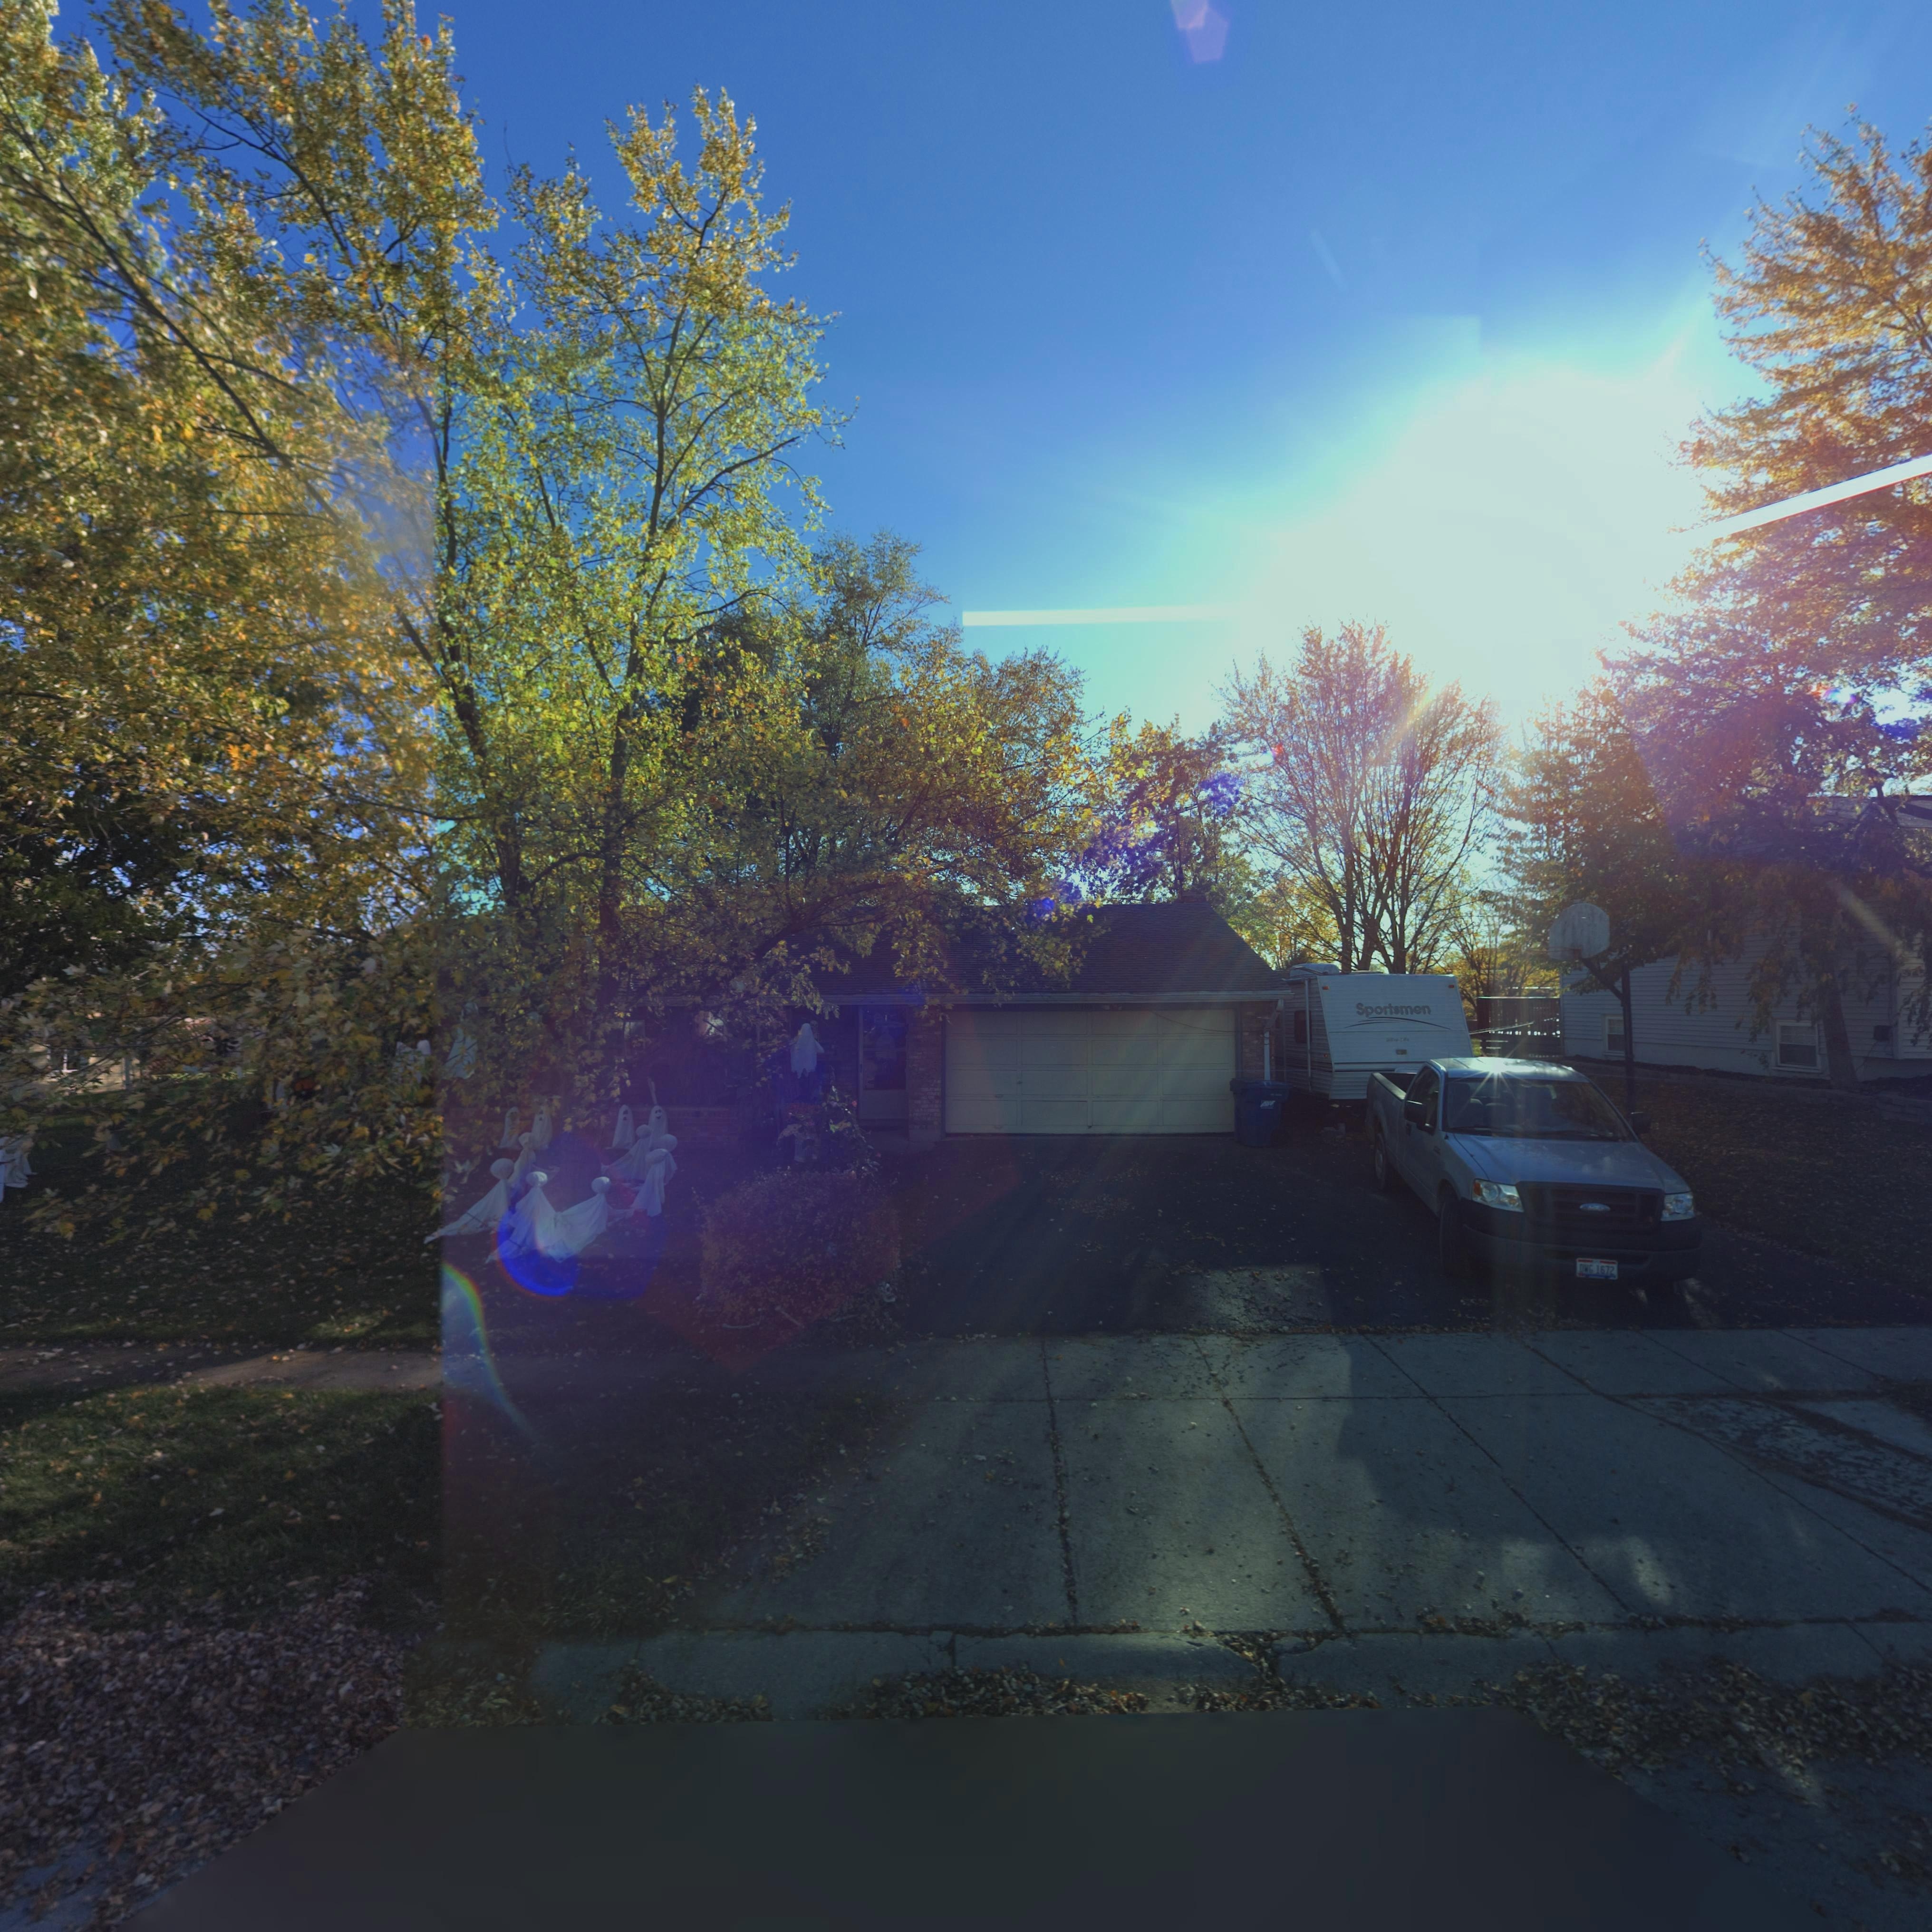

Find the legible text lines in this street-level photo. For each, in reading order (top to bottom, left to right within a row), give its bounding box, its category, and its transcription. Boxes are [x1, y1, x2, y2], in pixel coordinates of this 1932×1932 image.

[1074, 1003, 1093, 1010] StreetNumber: 510*